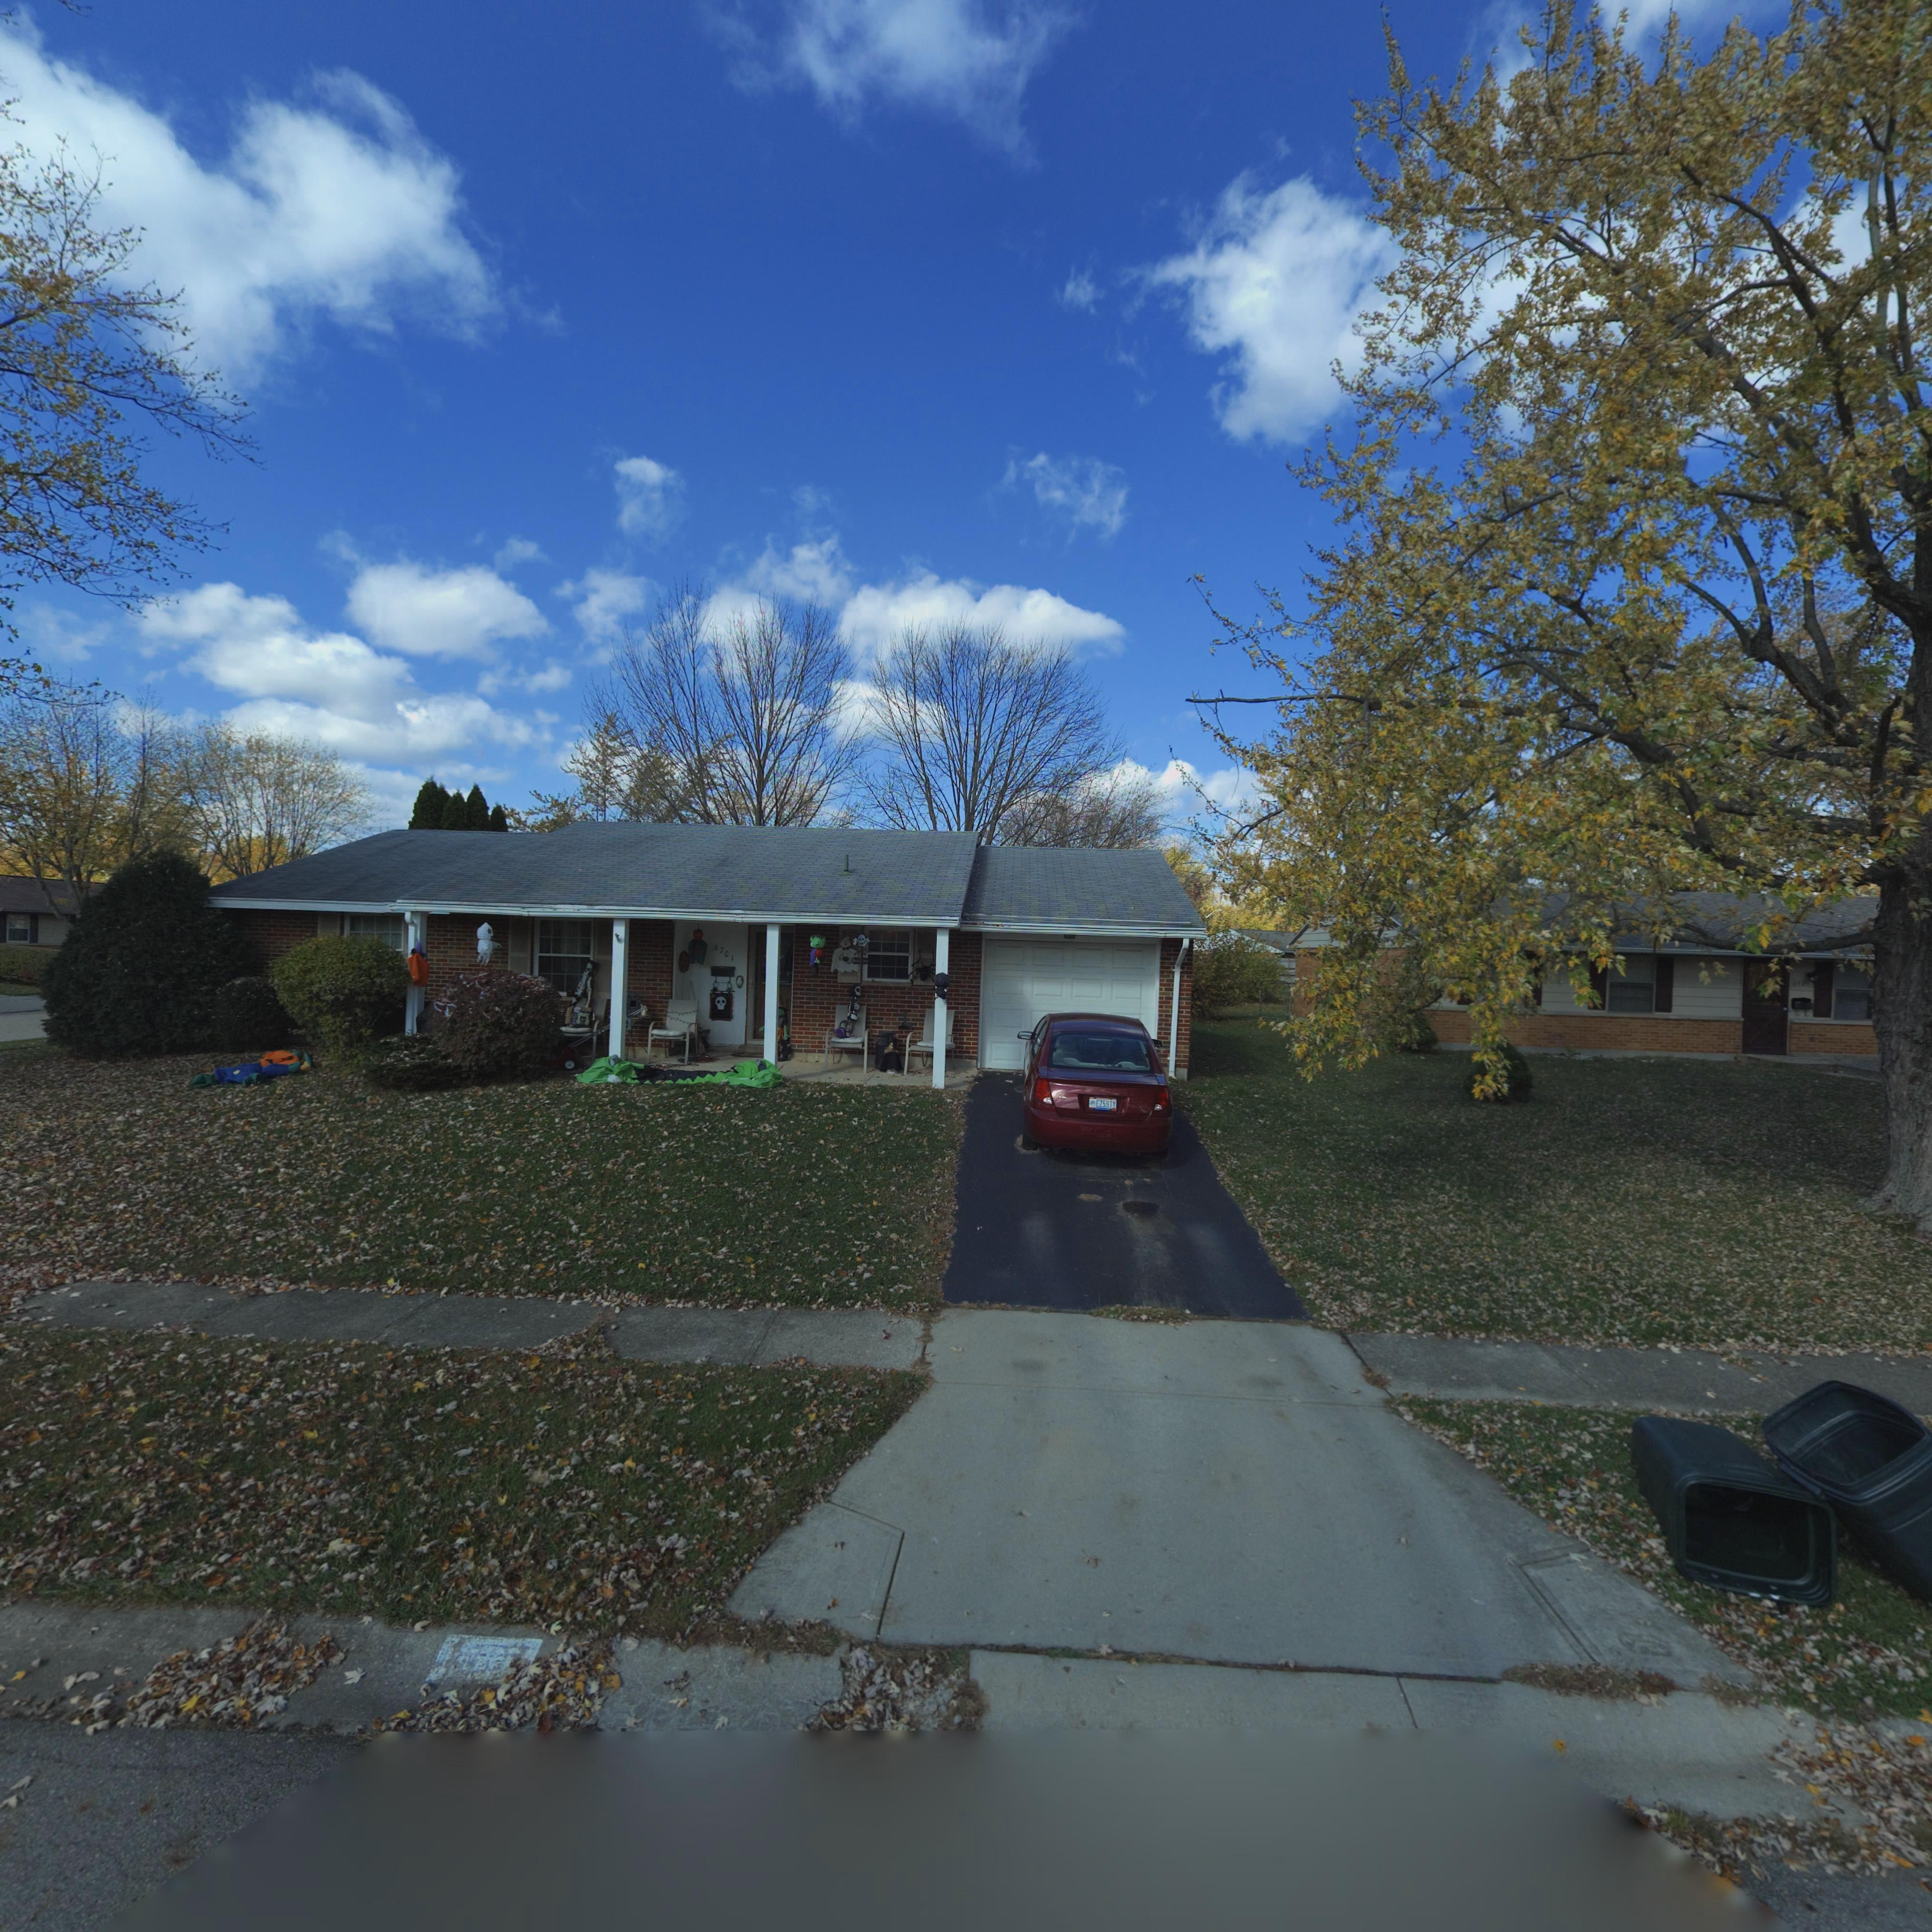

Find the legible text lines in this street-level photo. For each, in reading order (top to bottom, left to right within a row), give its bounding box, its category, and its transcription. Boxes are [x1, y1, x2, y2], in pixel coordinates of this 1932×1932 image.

[714, 943, 734, 962] StreetNumber: 6701
[1792, 980, 1810, 987] StreetNumber: 67**
[464, 1642, 512, 1675] StreetNumber: 70